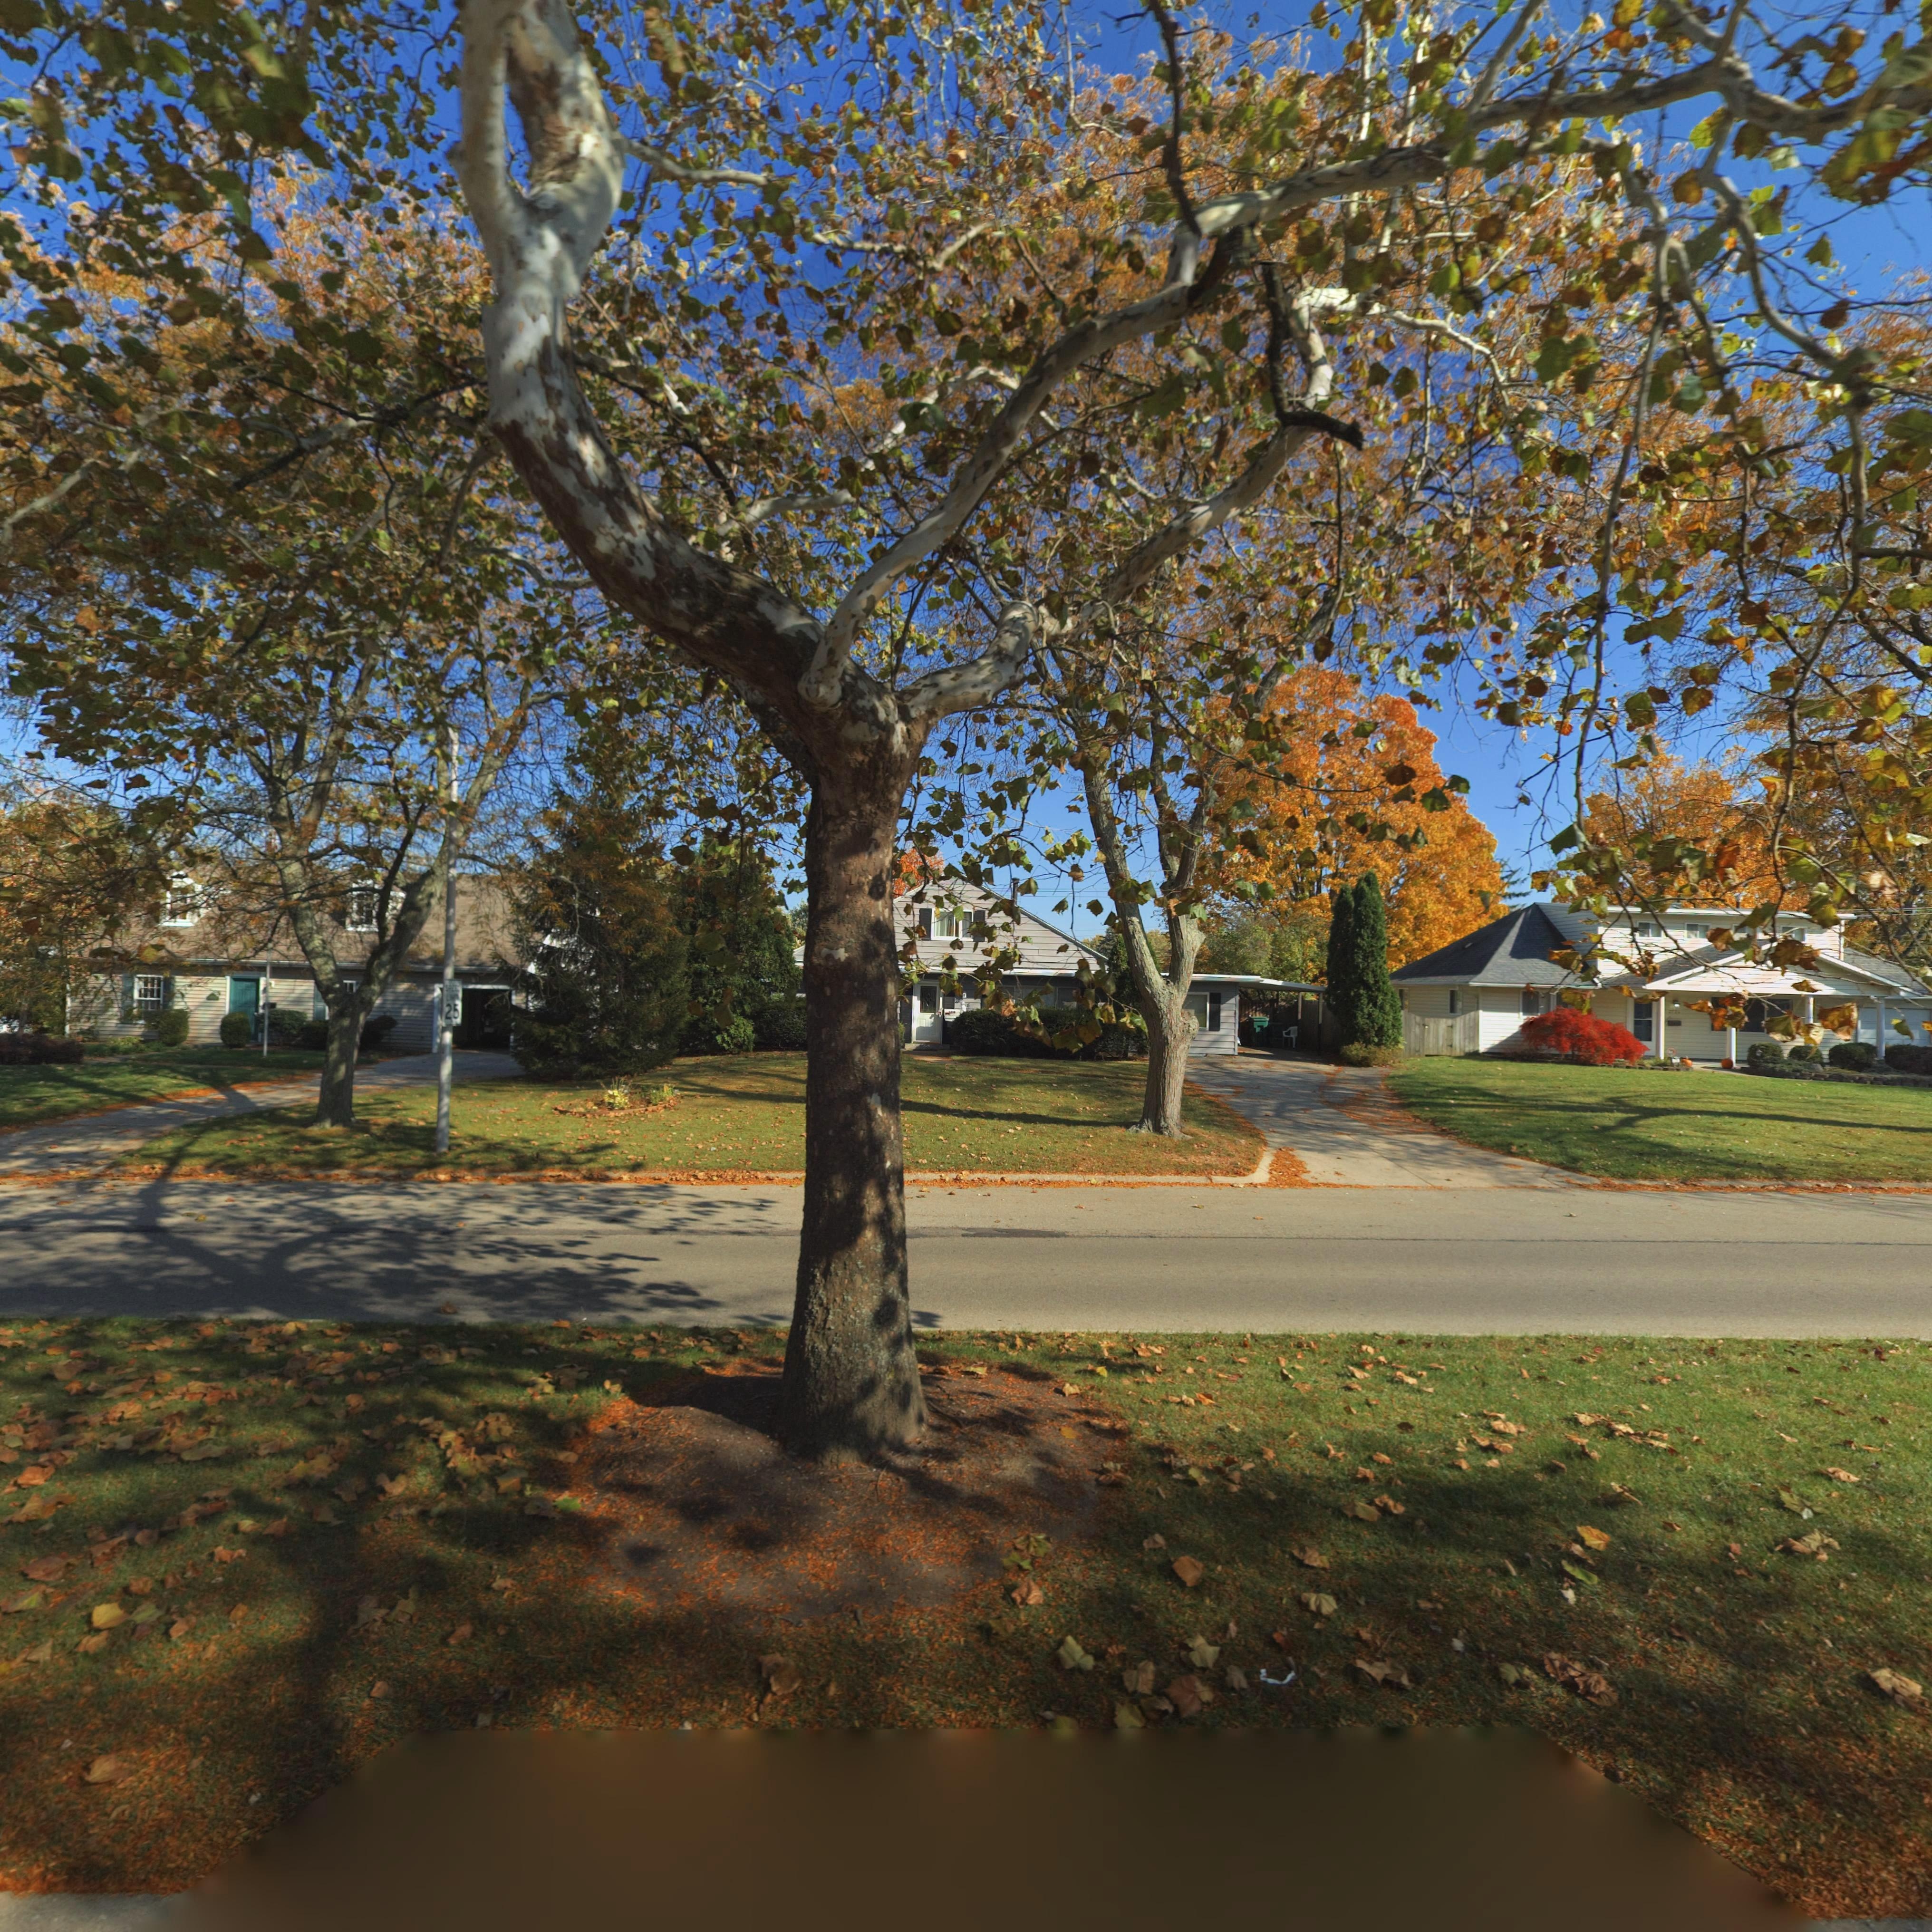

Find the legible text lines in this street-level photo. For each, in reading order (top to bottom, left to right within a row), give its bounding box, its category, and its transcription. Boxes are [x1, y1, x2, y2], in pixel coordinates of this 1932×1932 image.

[958, 1002, 970, 1008] StreetNumber: **18
[444, 1003, 460, 1020] None: 25
[1668, 1009, 1681, 1014] StreetNumber: *7**